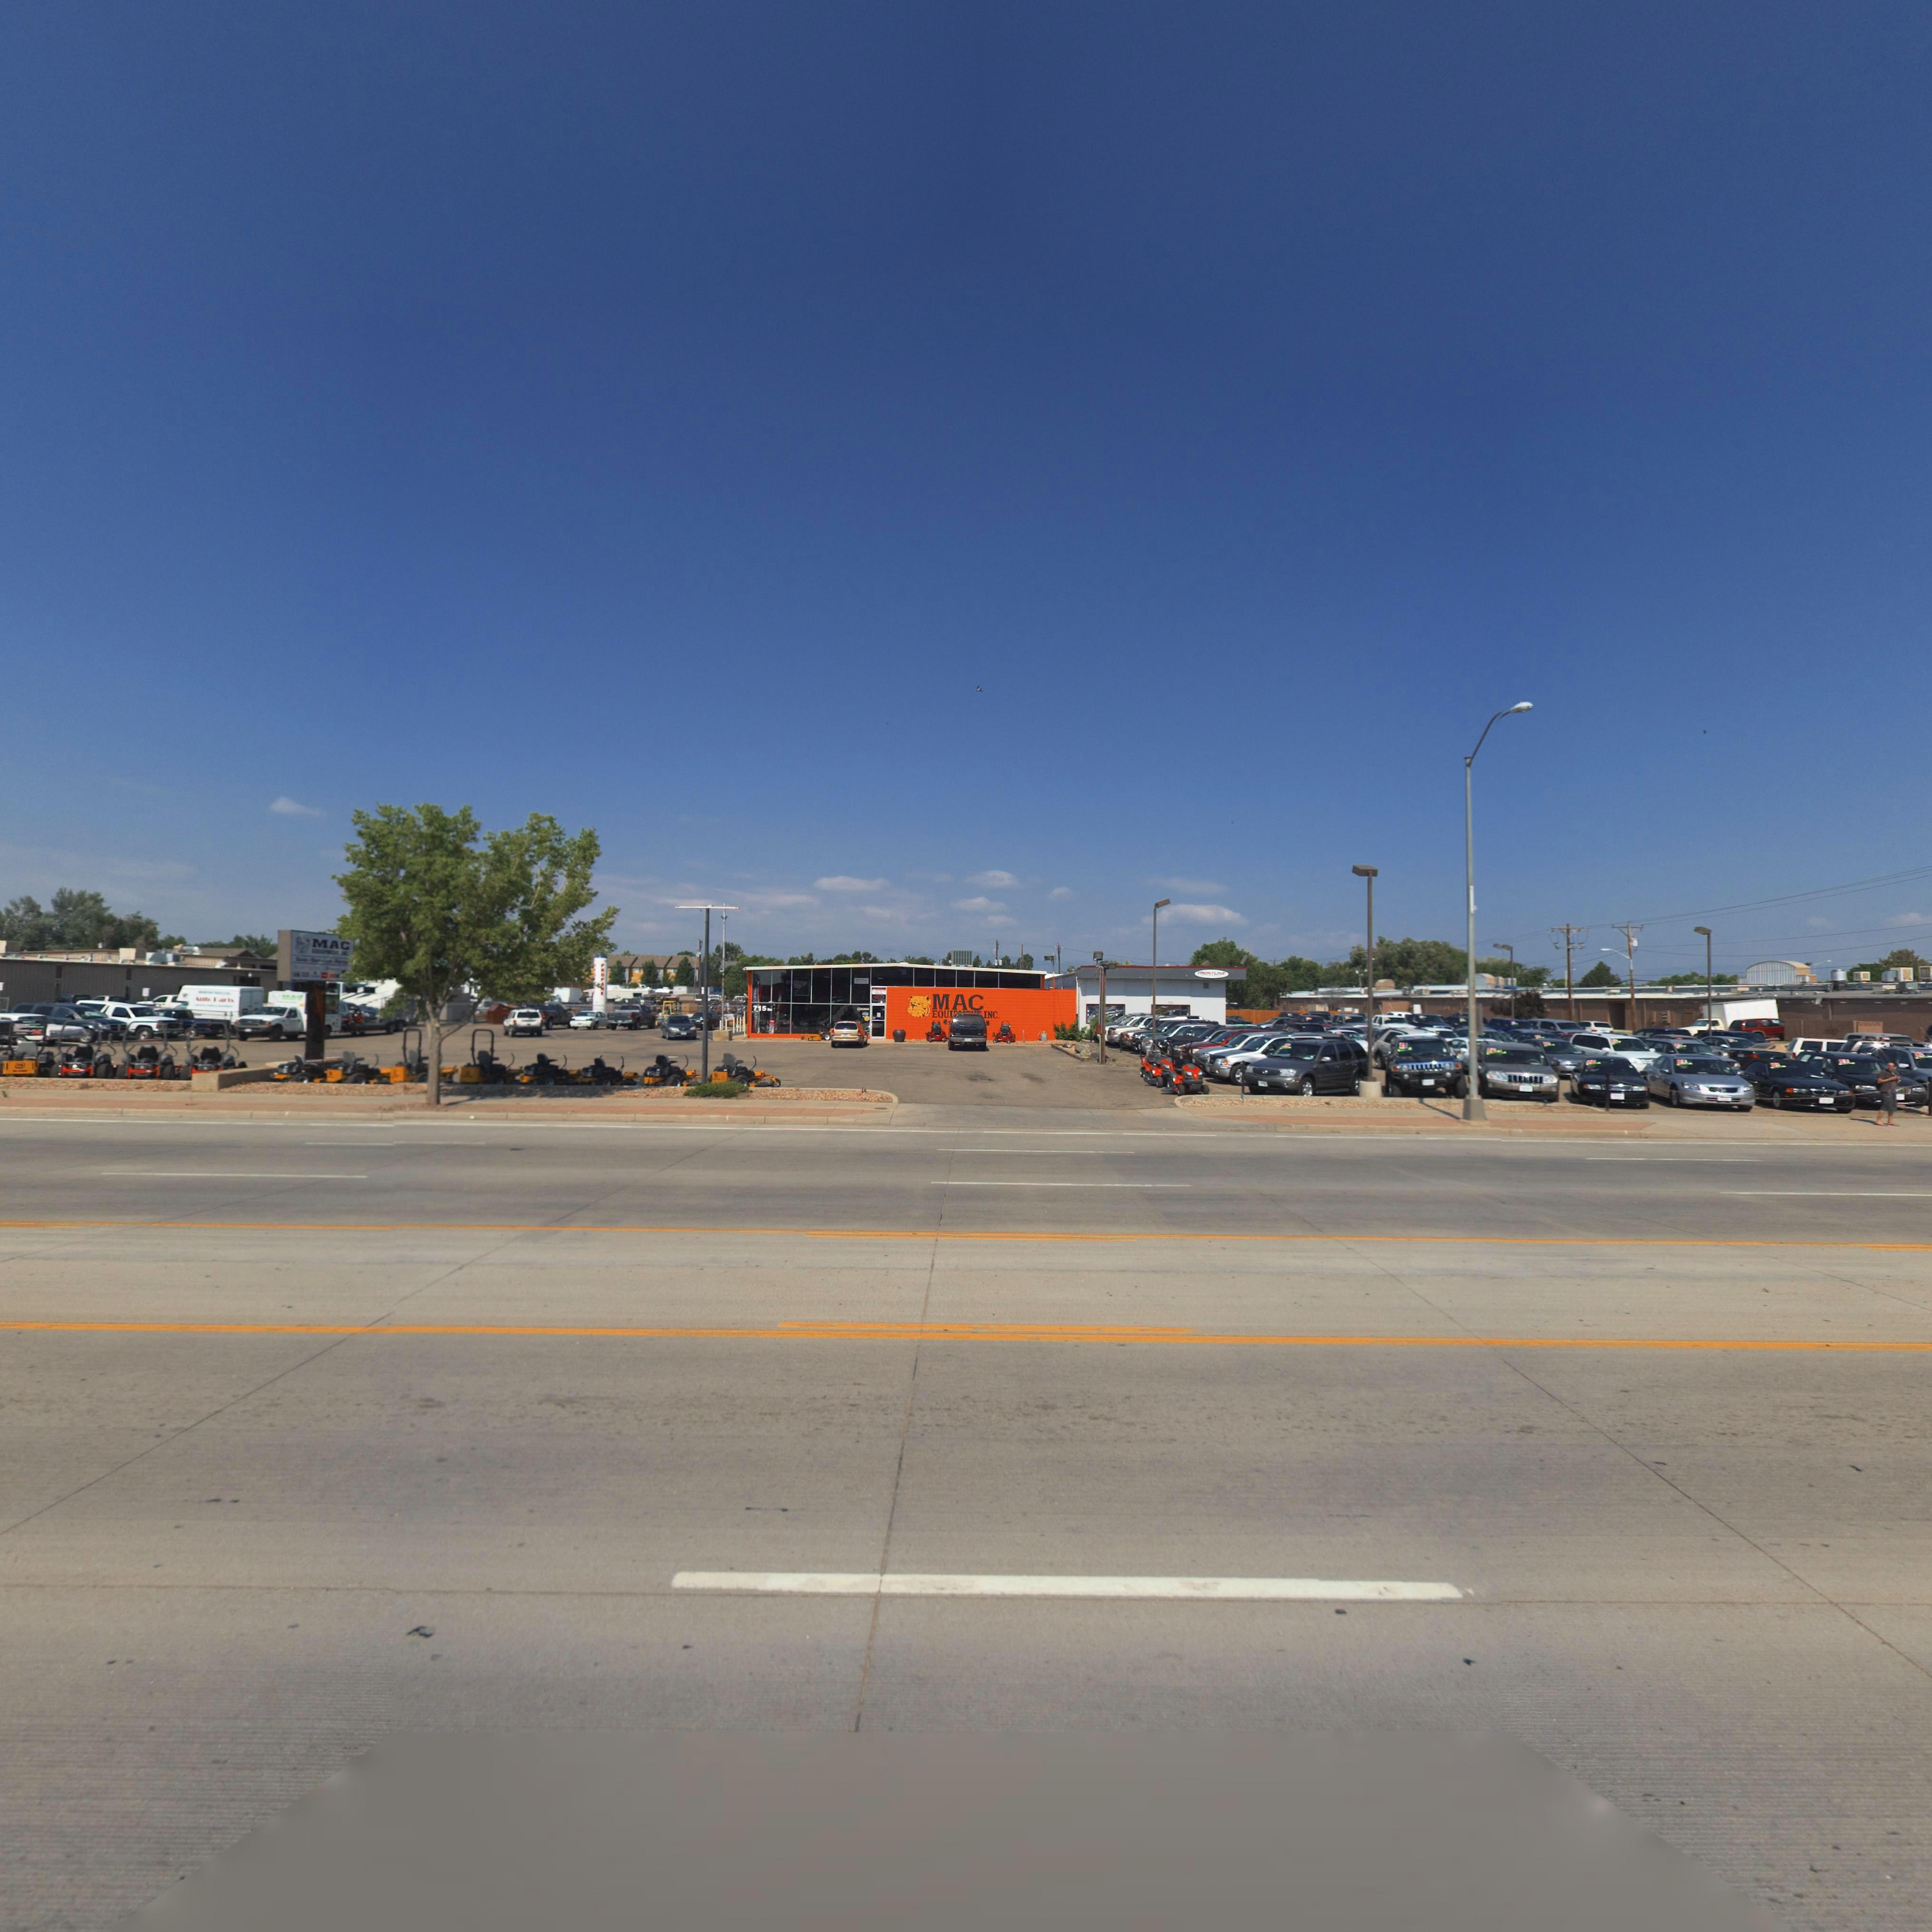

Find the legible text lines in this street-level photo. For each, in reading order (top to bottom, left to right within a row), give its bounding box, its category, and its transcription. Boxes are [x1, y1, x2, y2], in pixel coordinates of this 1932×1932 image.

[311, 937, 350, 950] BusinessName: MAC
[1197, 971, 1226, 975] BusinessName: F*ONTL***
[932, 994, 984, 1011] BusinessName: MAC
[753, 1005, 767, 1011] StreetNumber: 715
[932, 1010, 998, 1019] BusinessName: EQUI***** INC